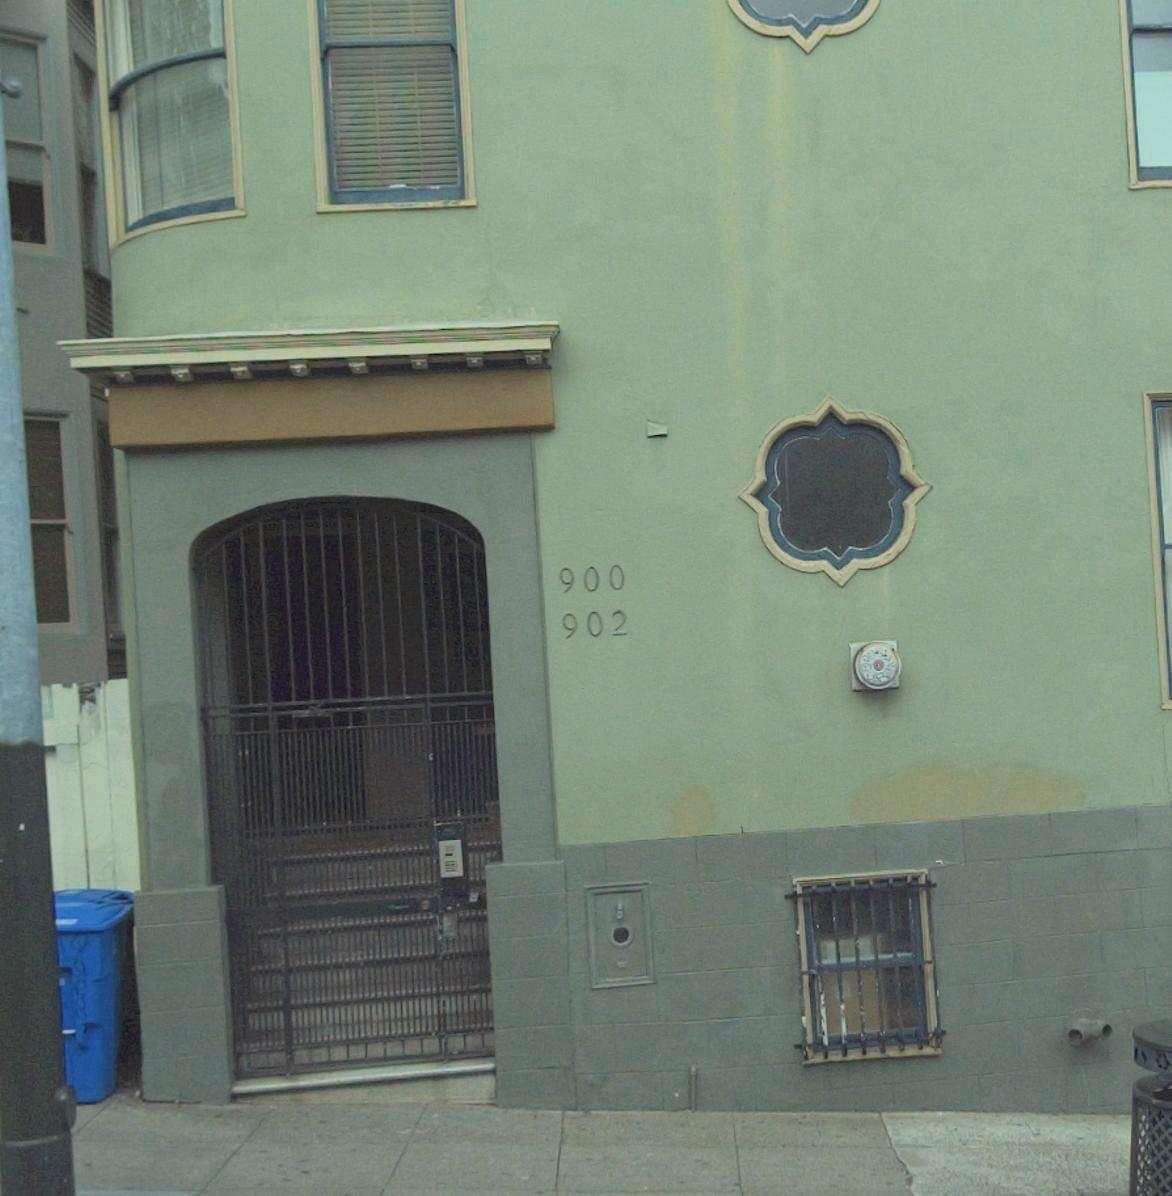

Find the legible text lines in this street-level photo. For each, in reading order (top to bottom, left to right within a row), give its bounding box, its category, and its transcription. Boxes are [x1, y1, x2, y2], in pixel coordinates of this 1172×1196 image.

[556, 560, 628, 597] StreetNumber: 900
[558, 605, 630, 643] StreetNumber: 902